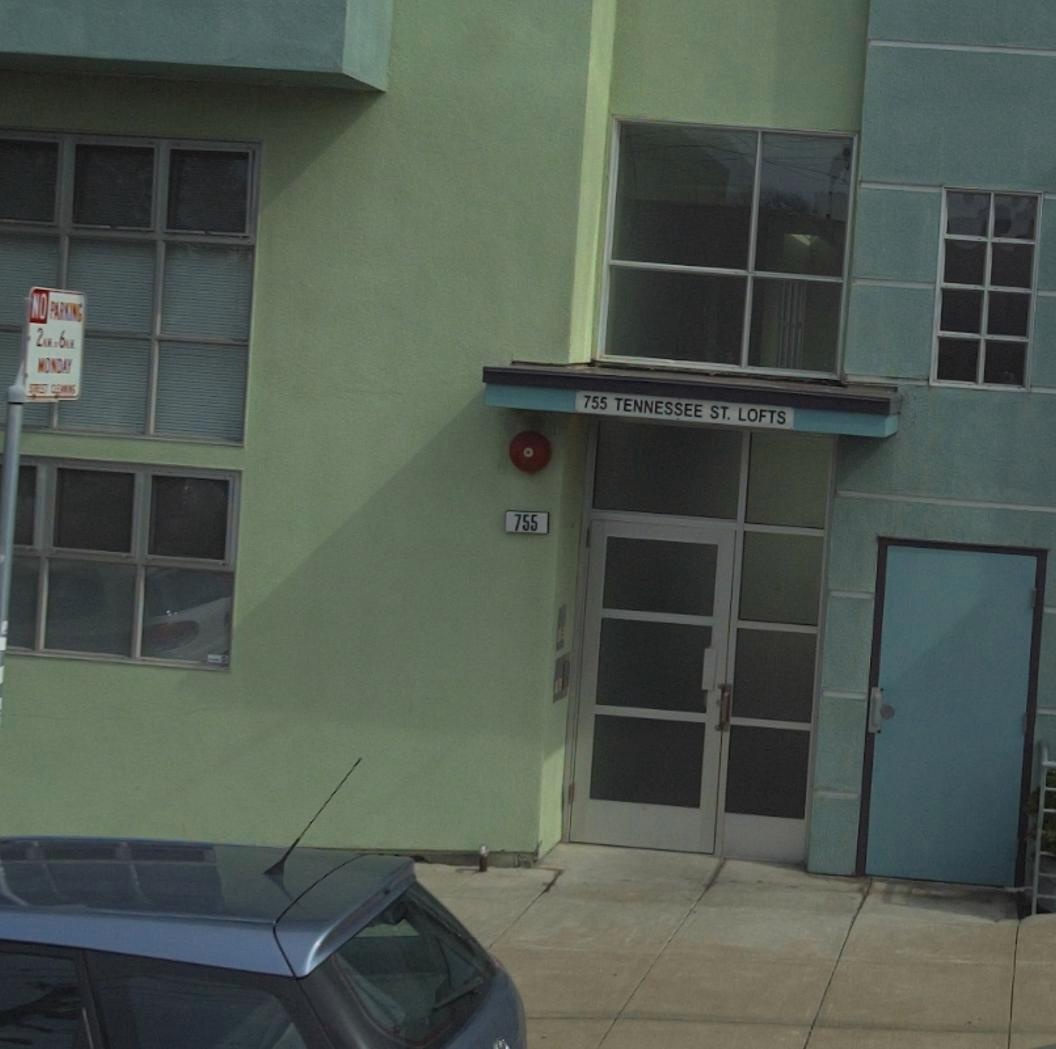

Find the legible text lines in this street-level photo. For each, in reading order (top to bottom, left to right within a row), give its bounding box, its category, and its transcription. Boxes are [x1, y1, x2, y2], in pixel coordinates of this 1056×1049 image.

[29, 292, 87, 325] None: NO PARKING
[34, 326, 45, 349] None: 2
[57, 329, 69, 351] None: 6
[35, 356, 74, 375] None: MONDAY
[27, 383, 78, 396] None: STREET CLEANING
[581, 393, 608, 412] StreetNumber: 755
[613, 394, 732, 422] StreetName: TENNESSEE ST.
[736, 406, 788, 426] None: LOFTS
[511, 513, 540, 533] StreetNumber: 755